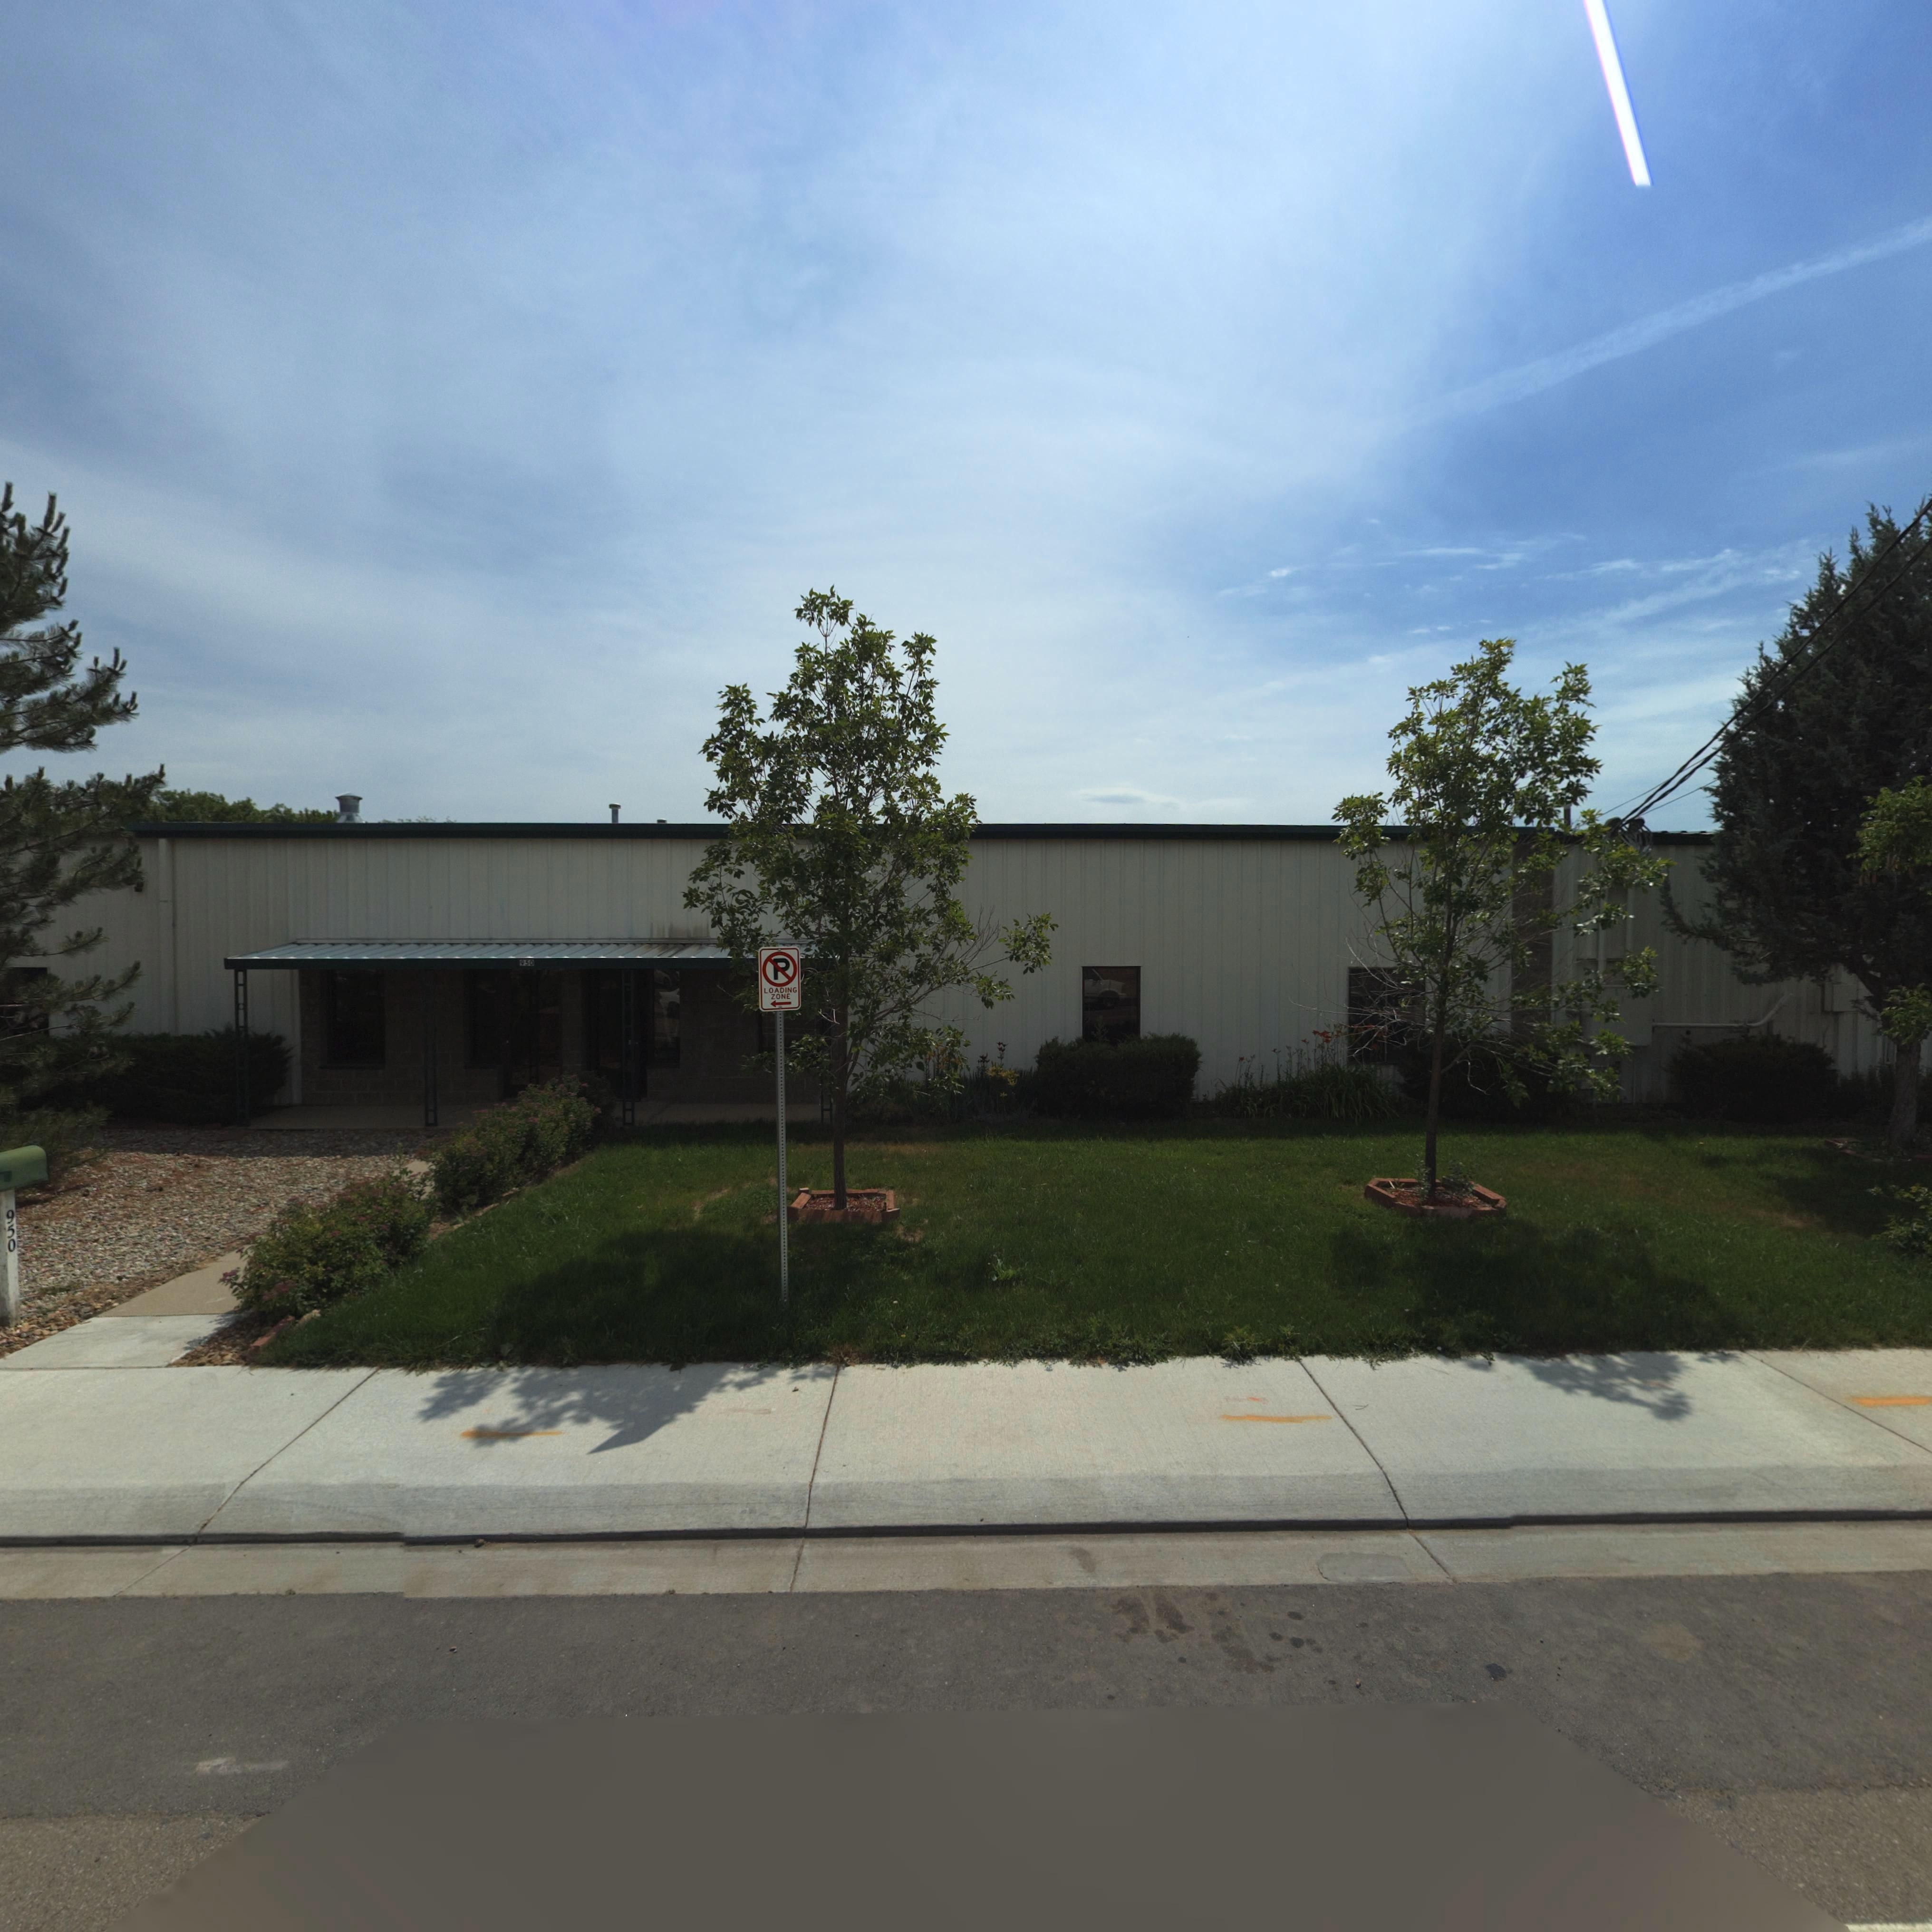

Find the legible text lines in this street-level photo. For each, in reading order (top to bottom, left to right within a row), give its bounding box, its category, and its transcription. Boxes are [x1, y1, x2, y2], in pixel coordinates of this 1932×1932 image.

[520, 959, 534, 966] StreetNumber: 950
[5, 1208, 16, 1253] StreetNumber: 950